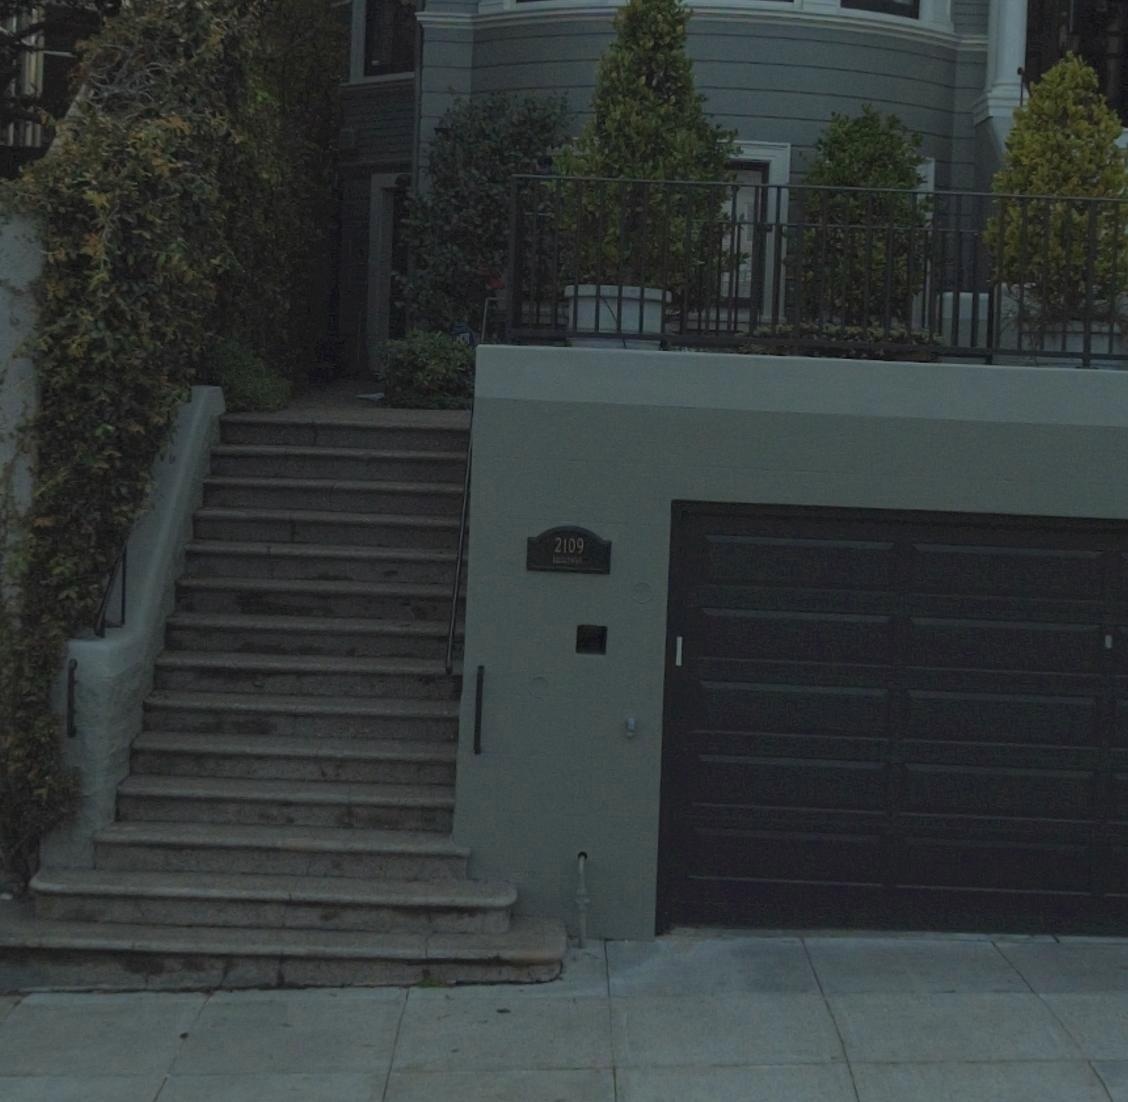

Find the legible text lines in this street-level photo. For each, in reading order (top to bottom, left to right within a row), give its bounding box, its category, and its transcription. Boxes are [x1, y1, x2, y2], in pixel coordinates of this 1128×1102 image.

[550, 534, 586, 556] StreetNumber: 2109